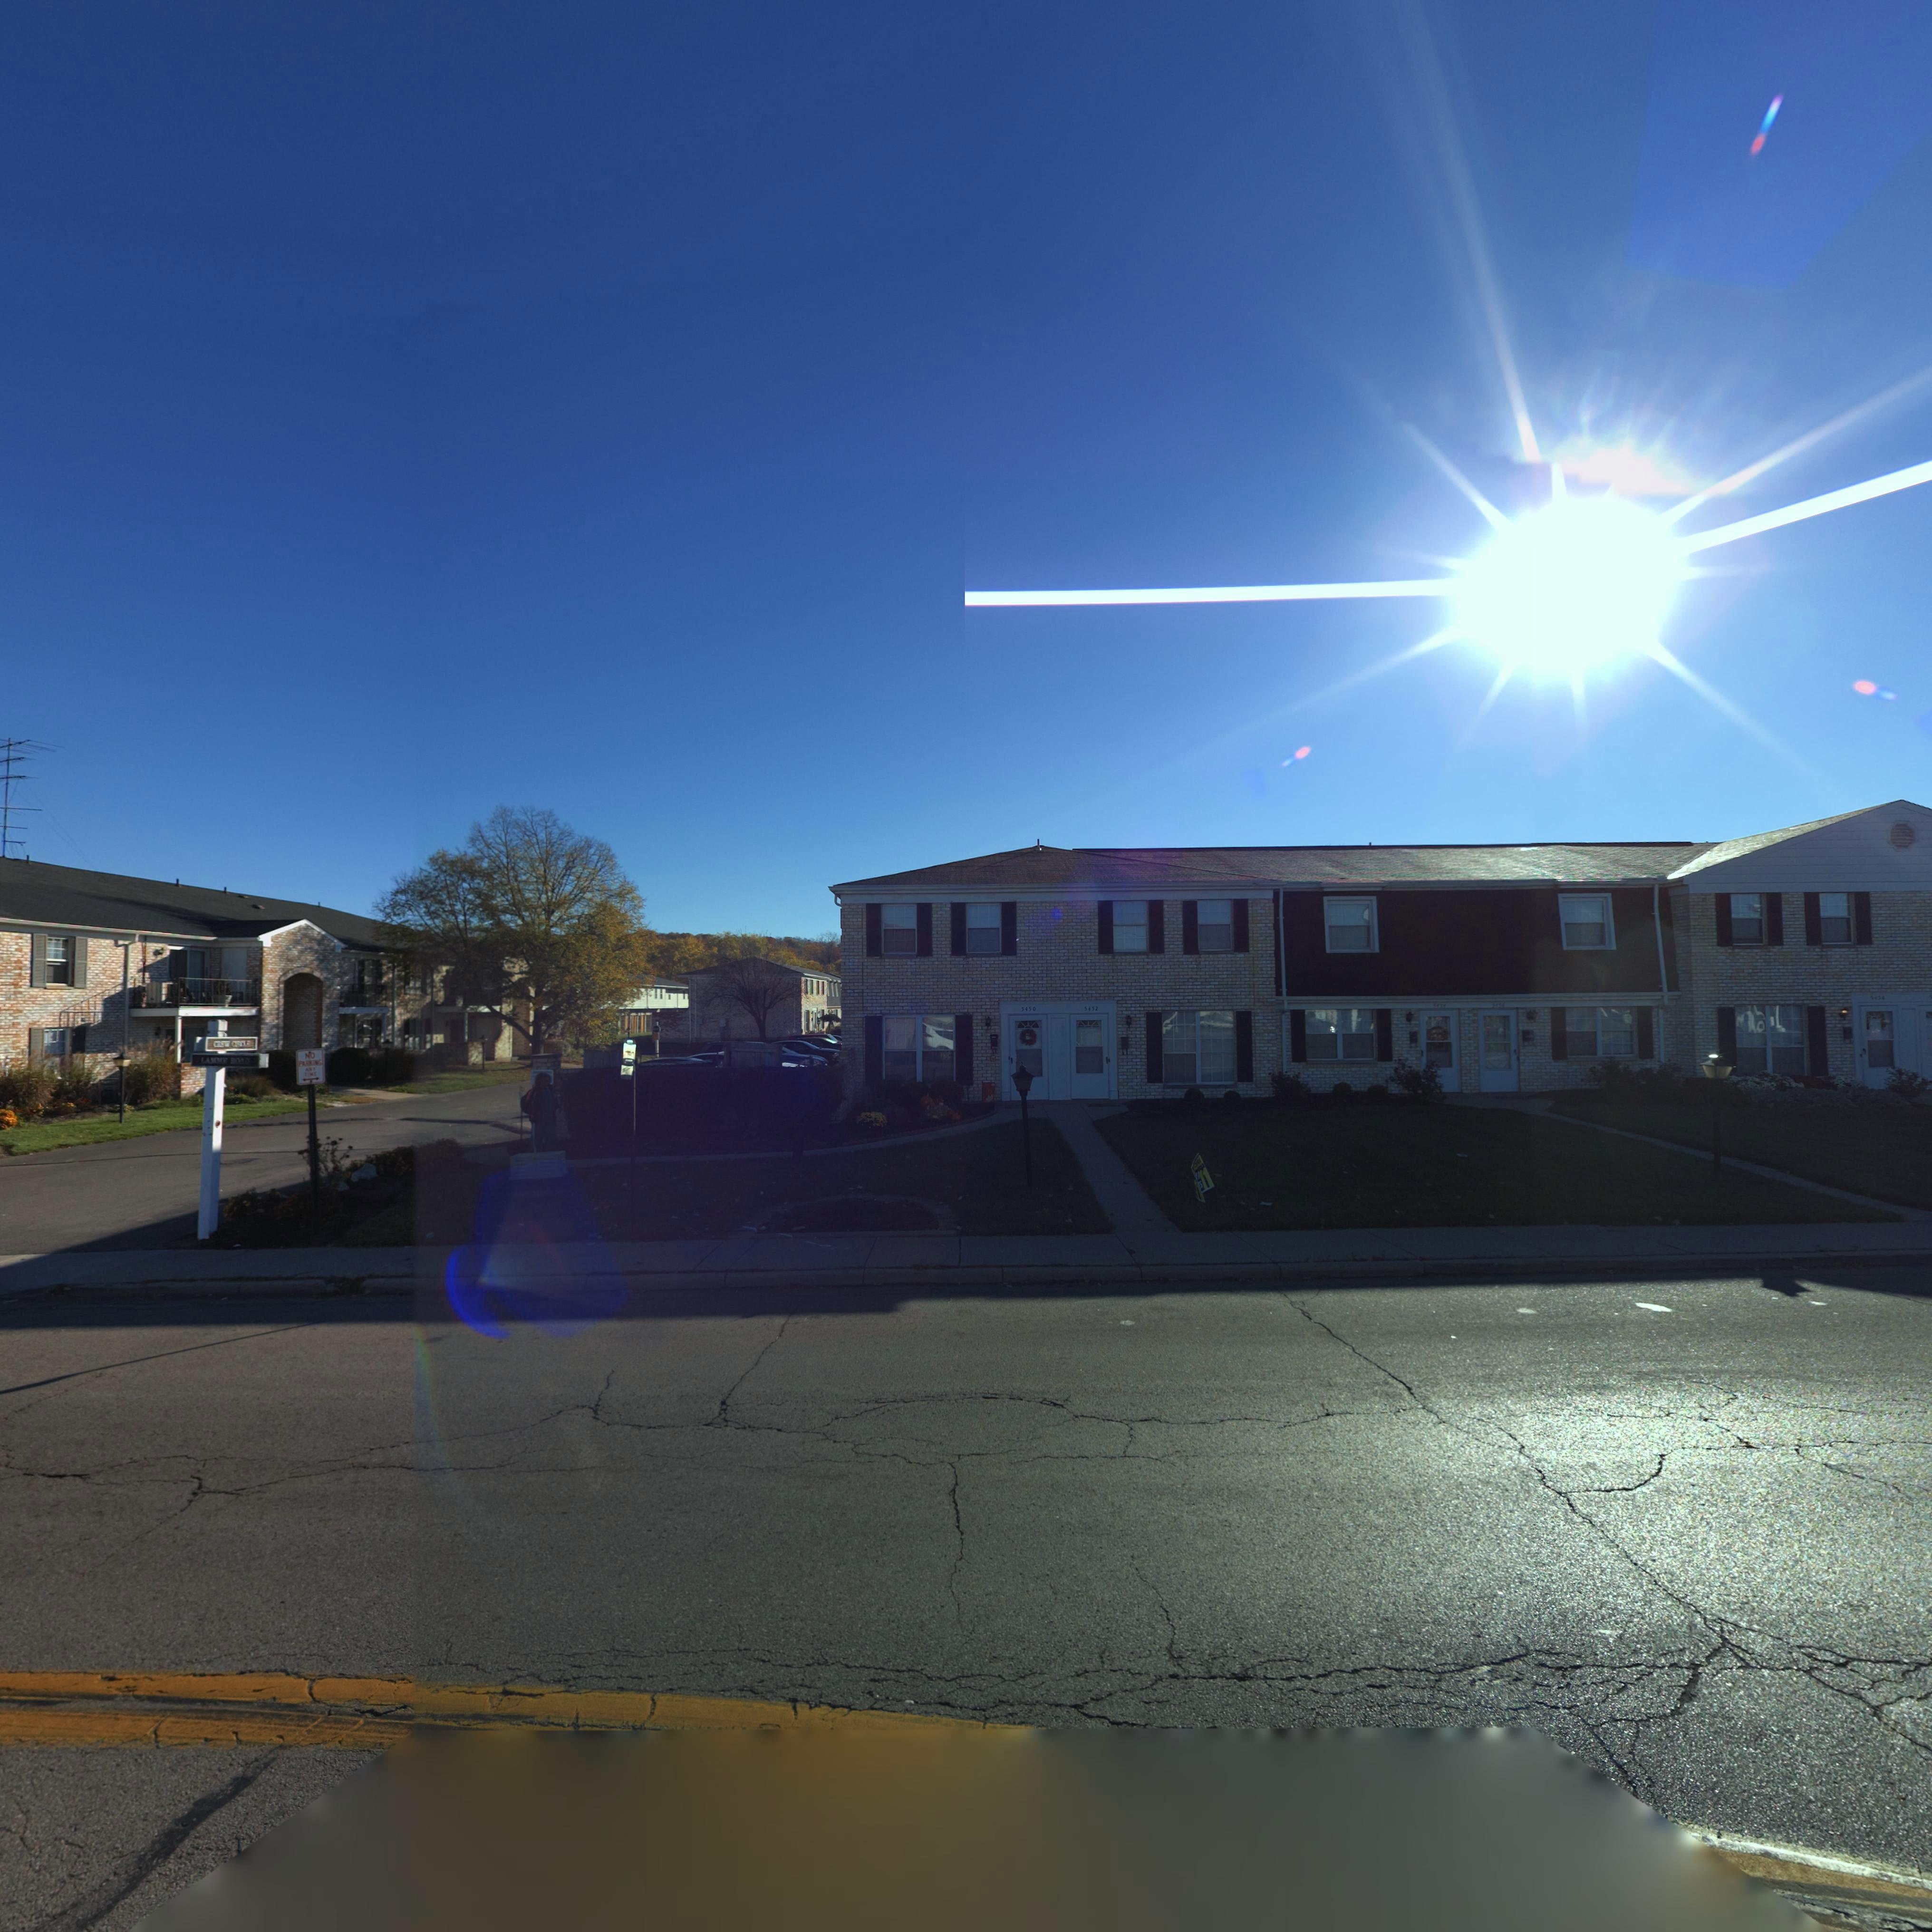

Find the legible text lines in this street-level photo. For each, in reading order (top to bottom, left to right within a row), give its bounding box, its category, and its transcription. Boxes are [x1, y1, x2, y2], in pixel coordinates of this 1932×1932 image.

[1021, 1006, 1037, 1012] StreetNumber: 5450
[1084, 1005, 1099, 1012] StreetNumber: 5452